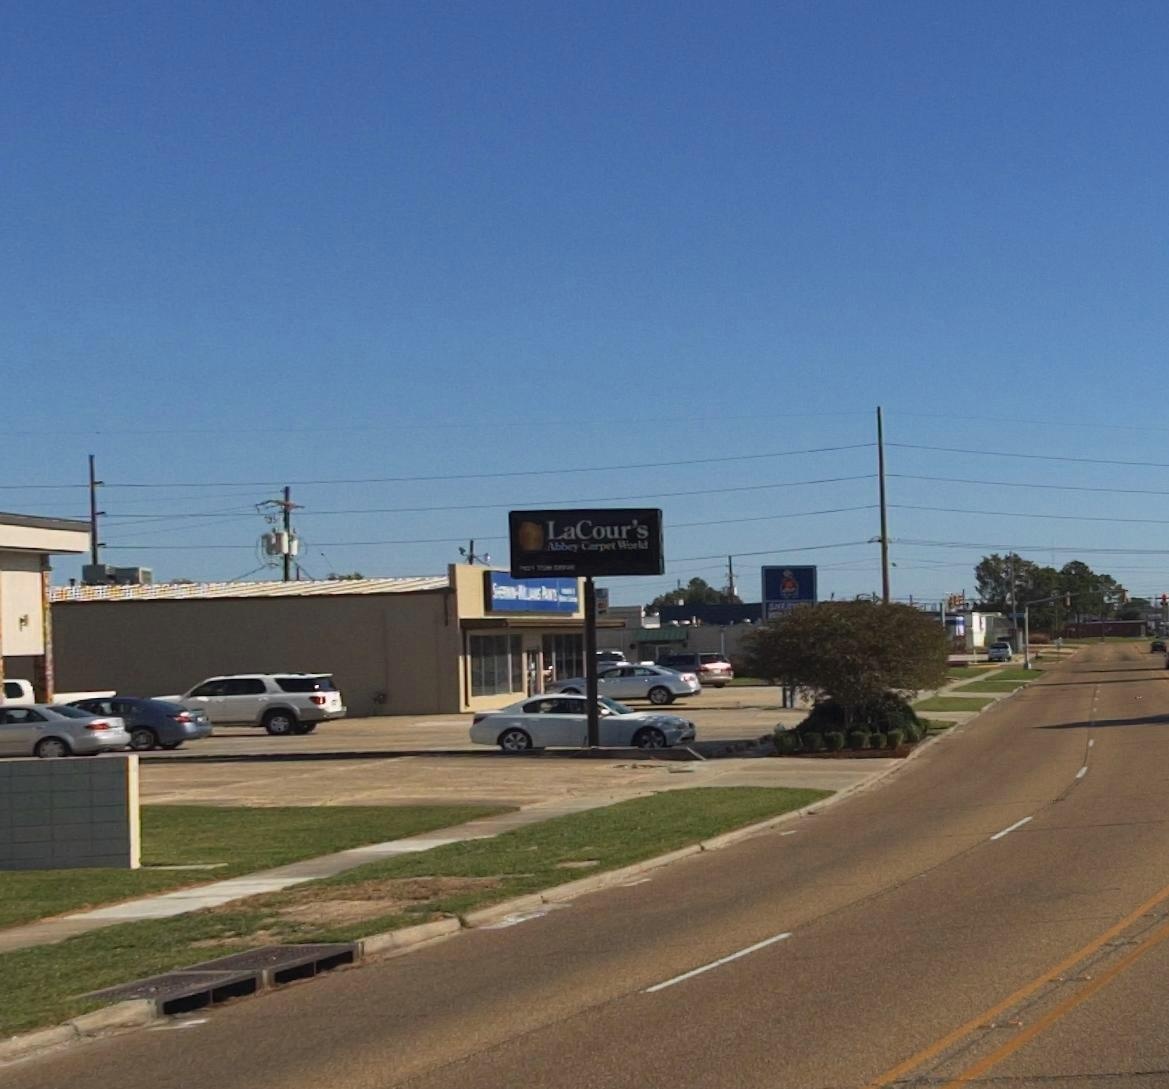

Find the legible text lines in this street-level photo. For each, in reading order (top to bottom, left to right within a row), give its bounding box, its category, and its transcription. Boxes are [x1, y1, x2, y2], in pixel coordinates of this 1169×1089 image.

[544, 517, 651, 543] BusinessName: LaCour's
[543, 539, 583, 555] BusinessName: ABBEY